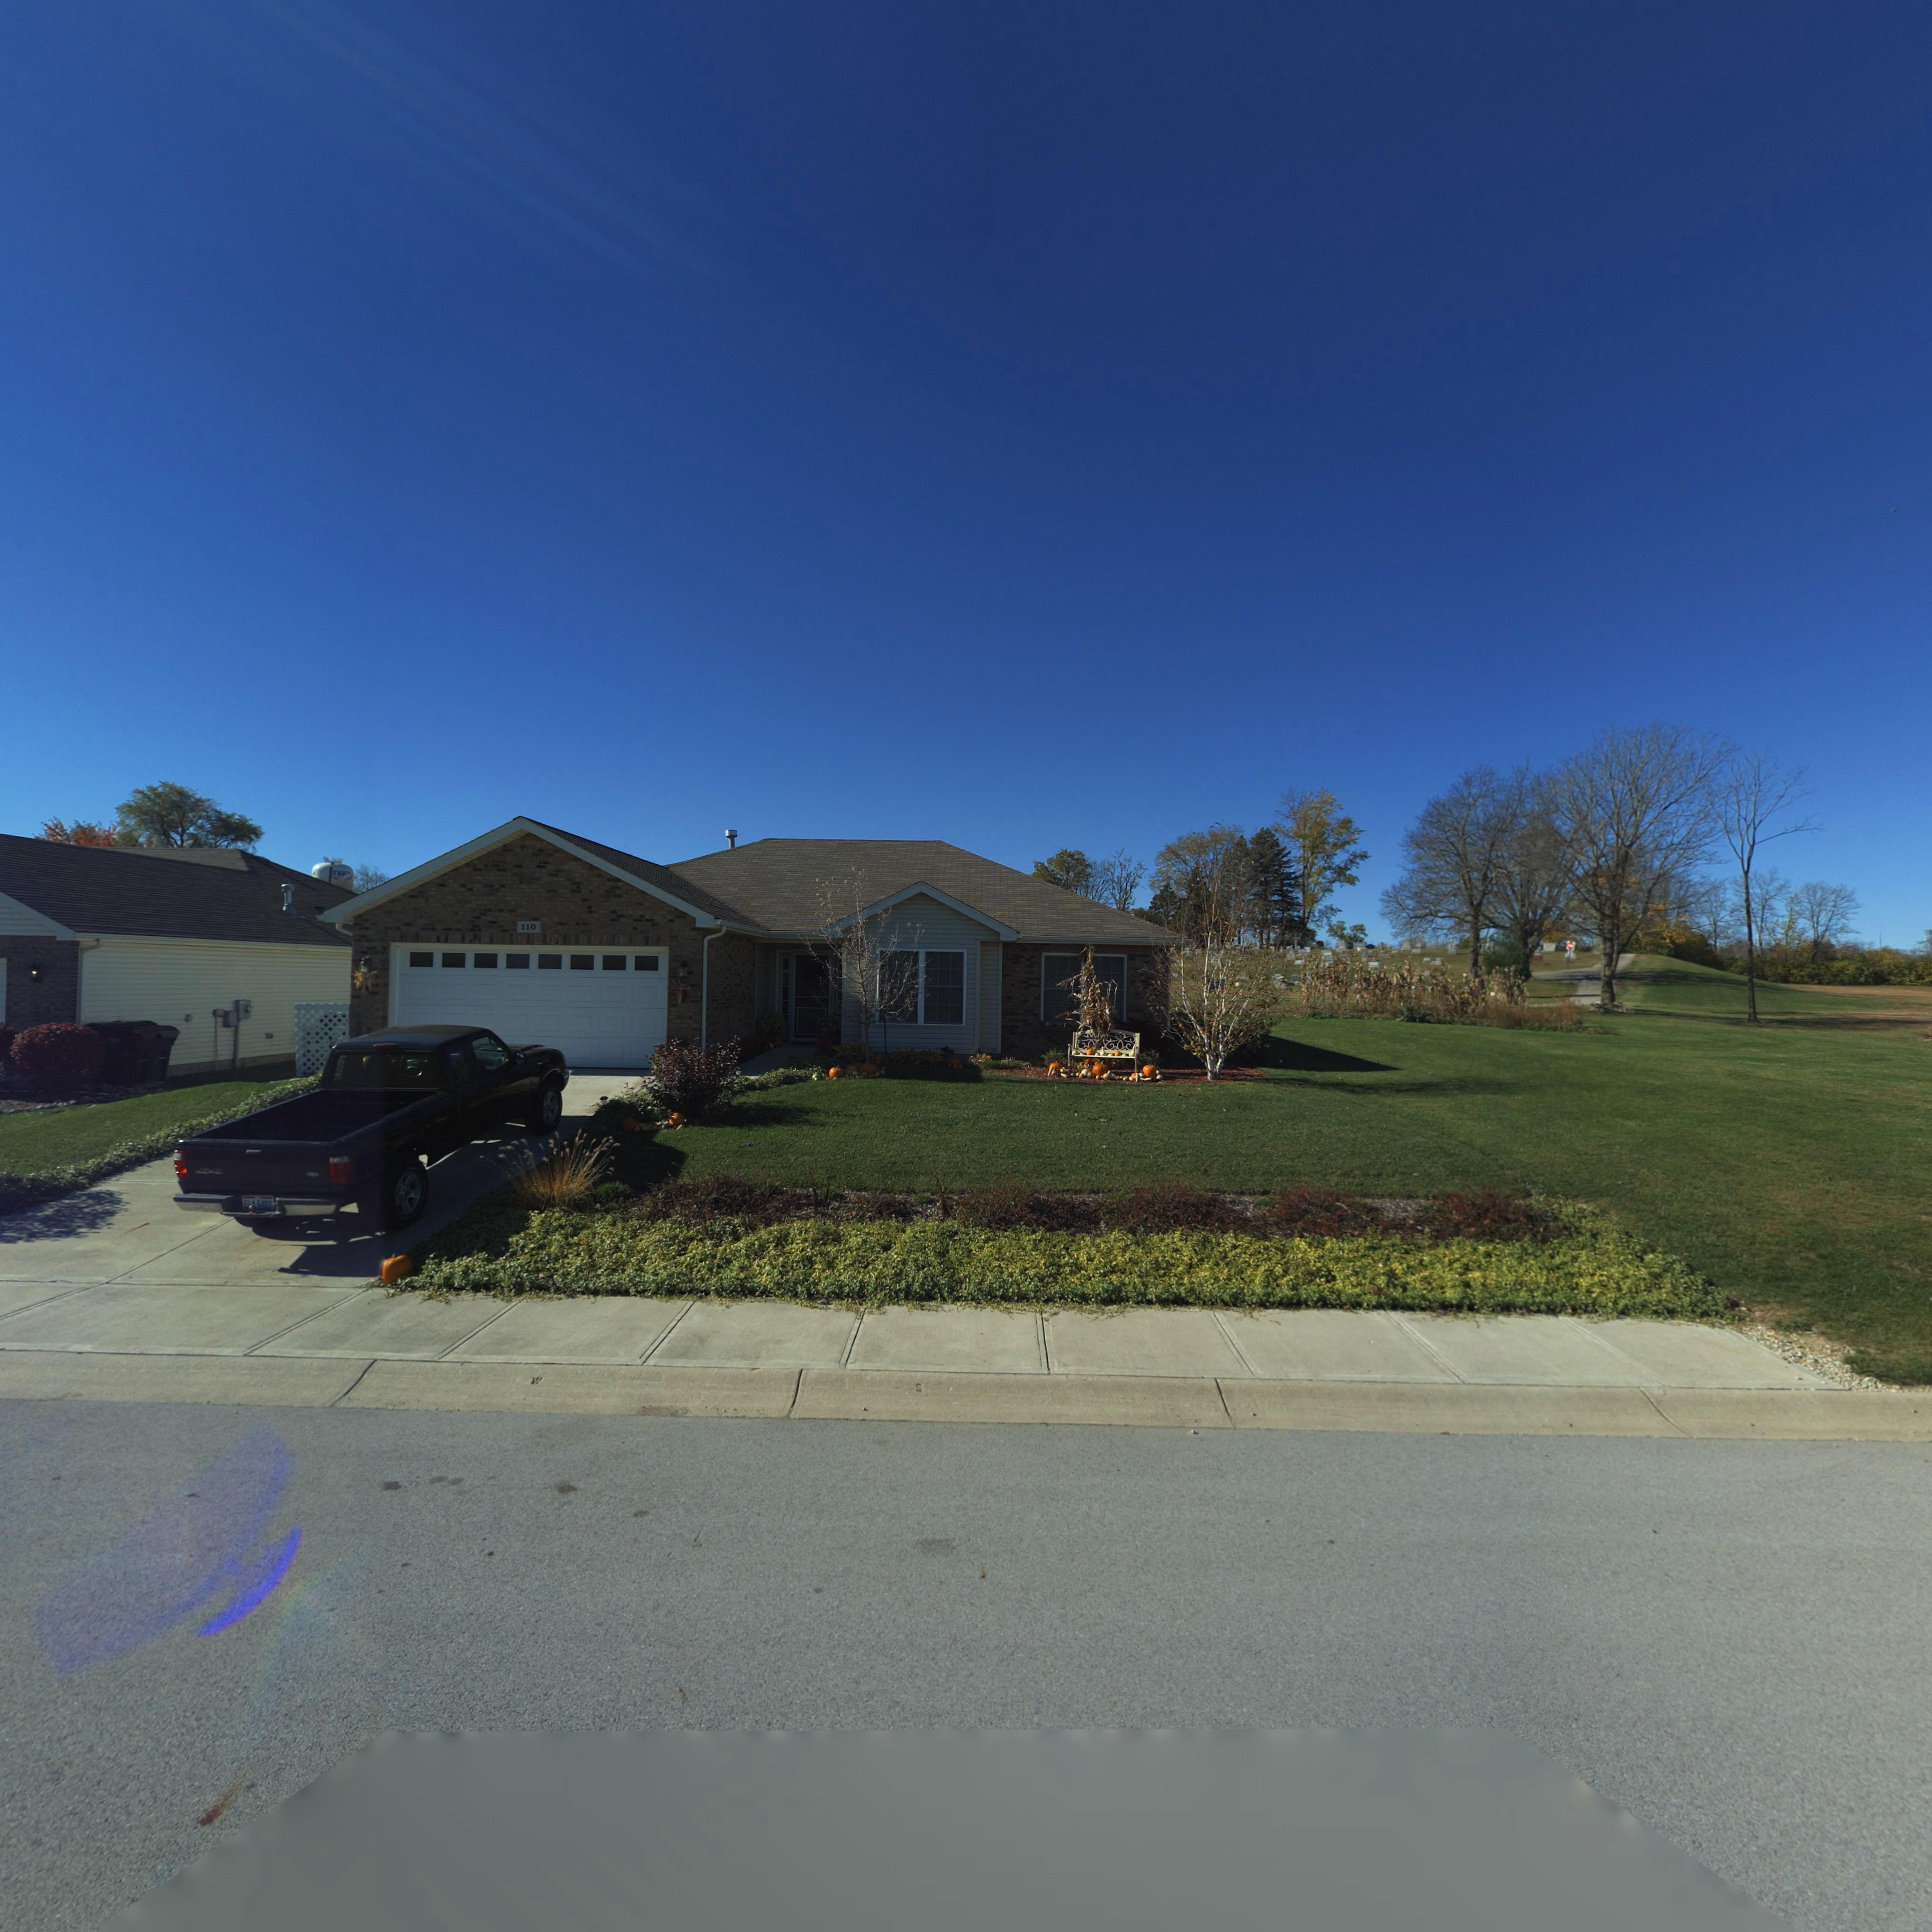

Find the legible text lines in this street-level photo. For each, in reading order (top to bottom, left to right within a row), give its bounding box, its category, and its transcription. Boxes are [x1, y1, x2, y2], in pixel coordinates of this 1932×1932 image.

[521, 923, 537, 931] StreetNumber: 110